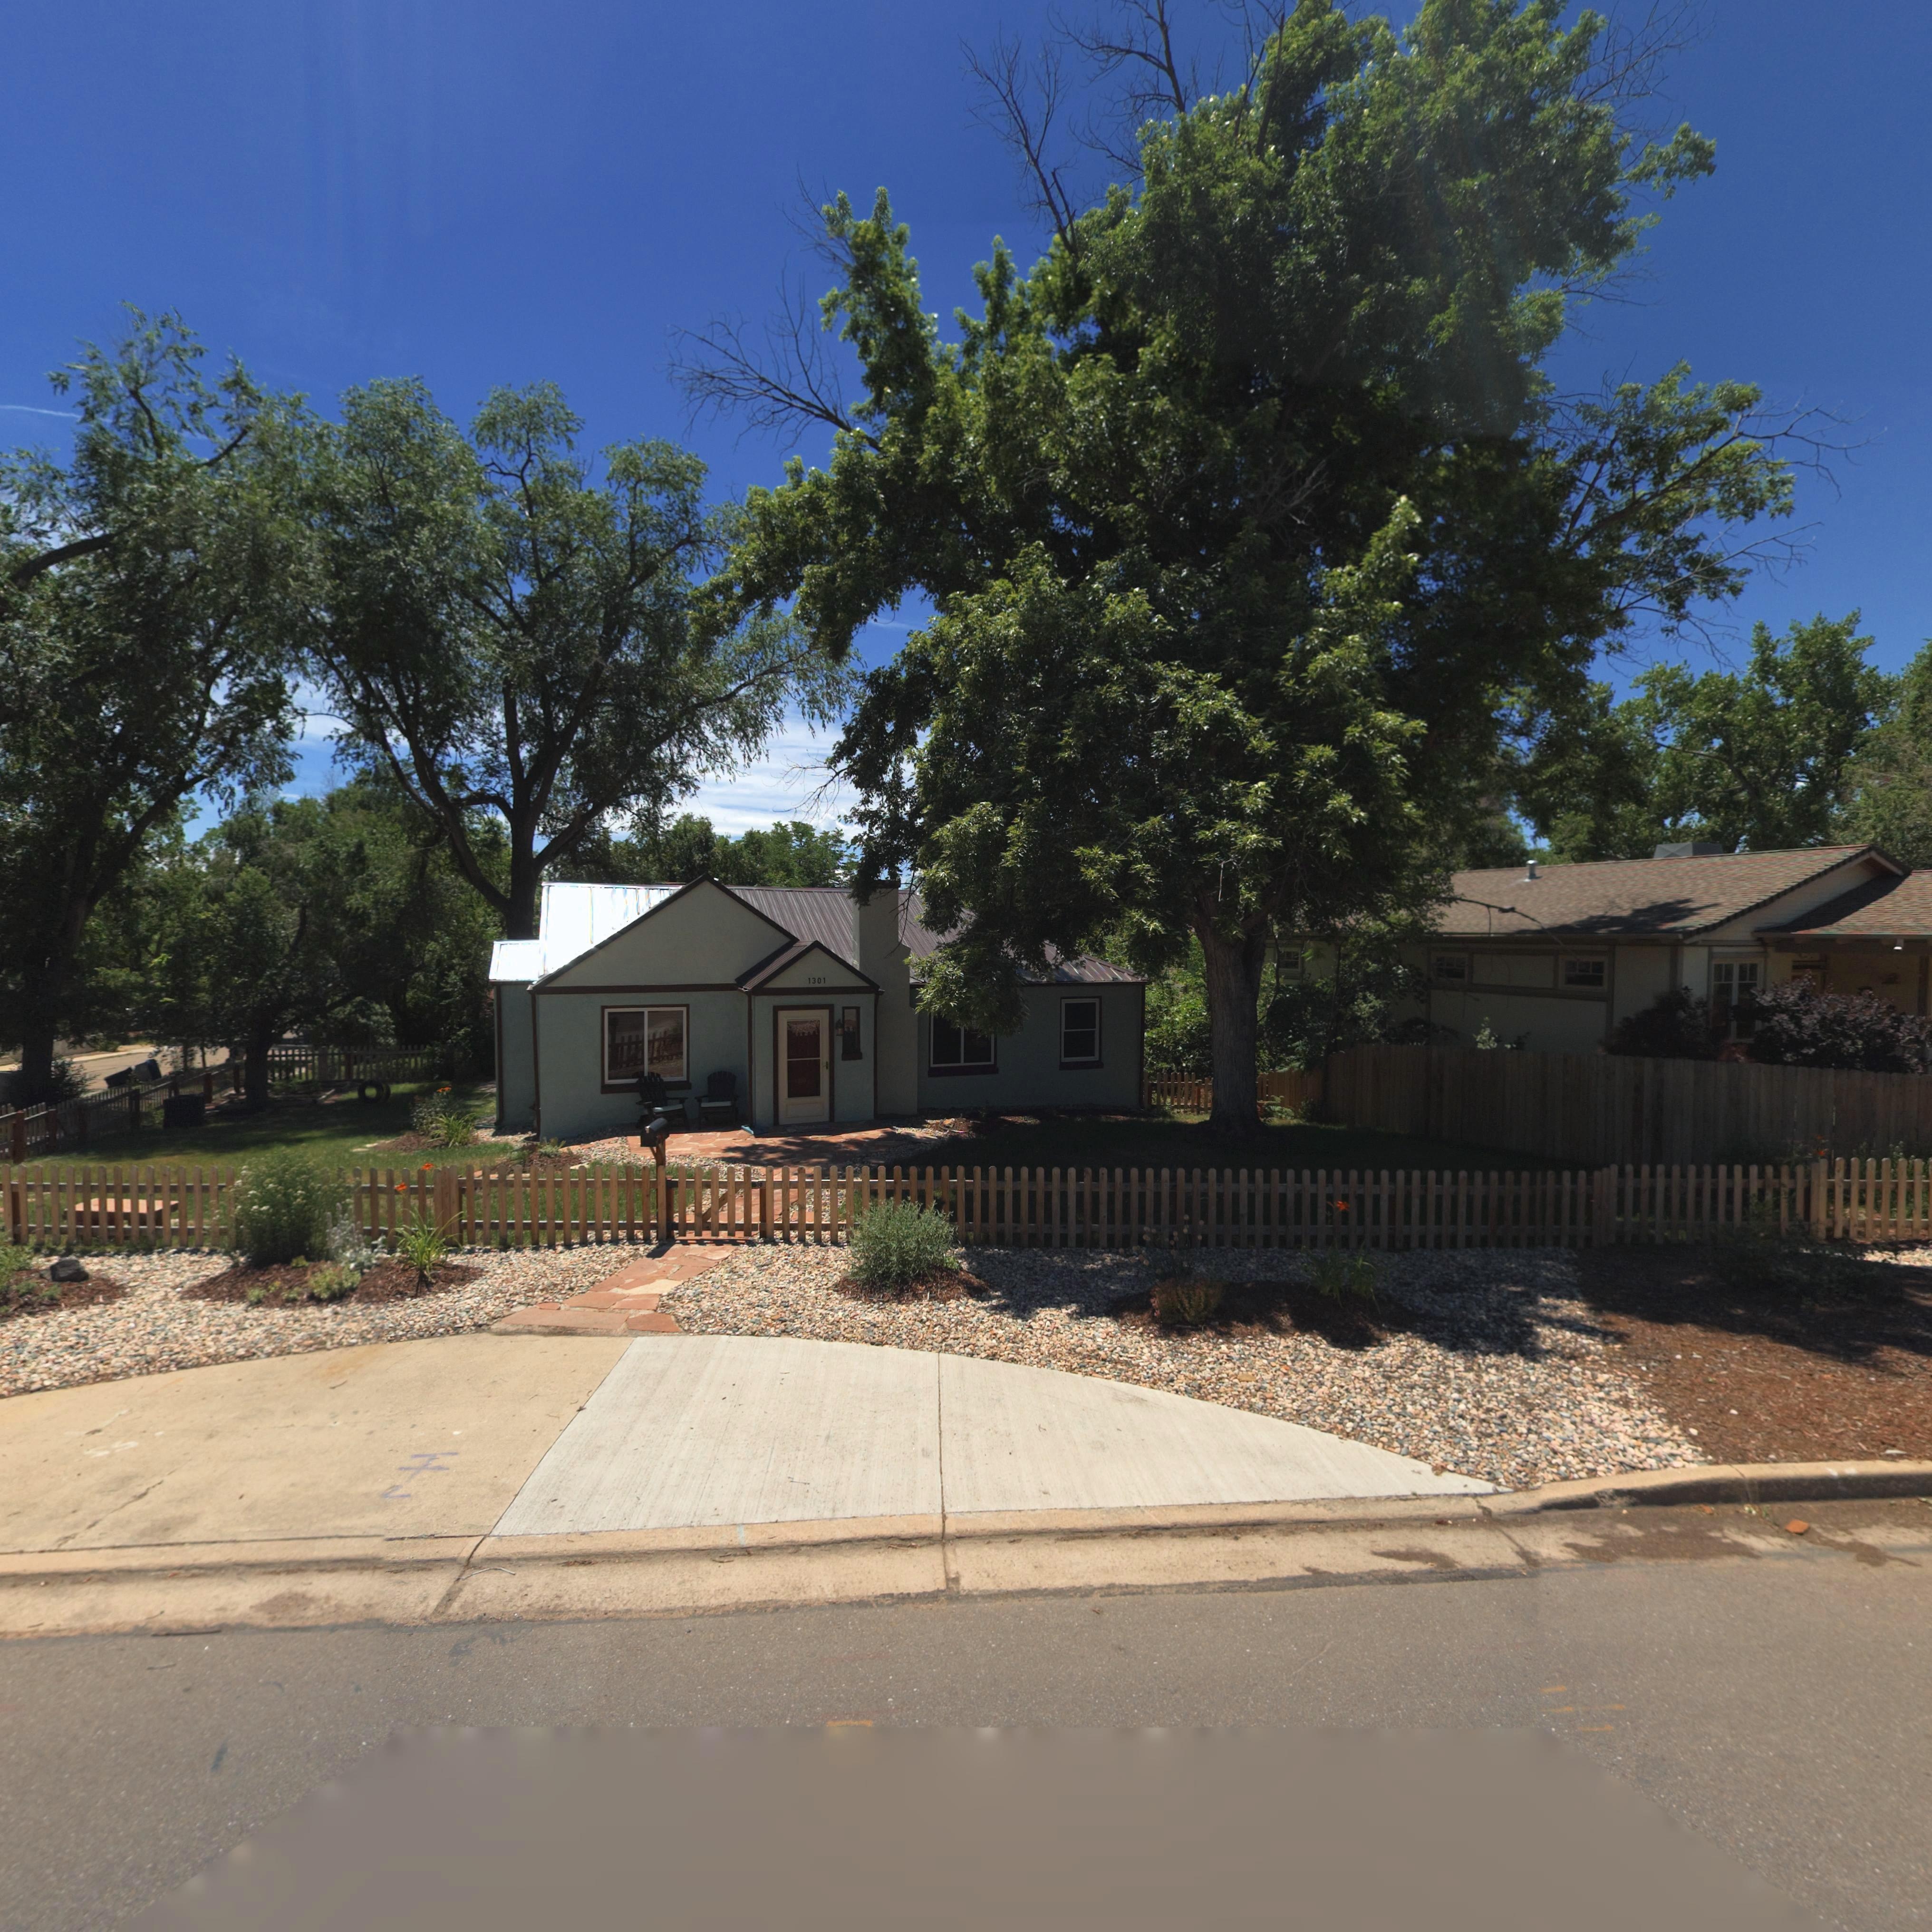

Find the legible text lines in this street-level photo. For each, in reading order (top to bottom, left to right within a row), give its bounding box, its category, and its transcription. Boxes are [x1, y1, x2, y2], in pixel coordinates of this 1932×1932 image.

[808, 977, 825, 984] StreetNumber: 1301